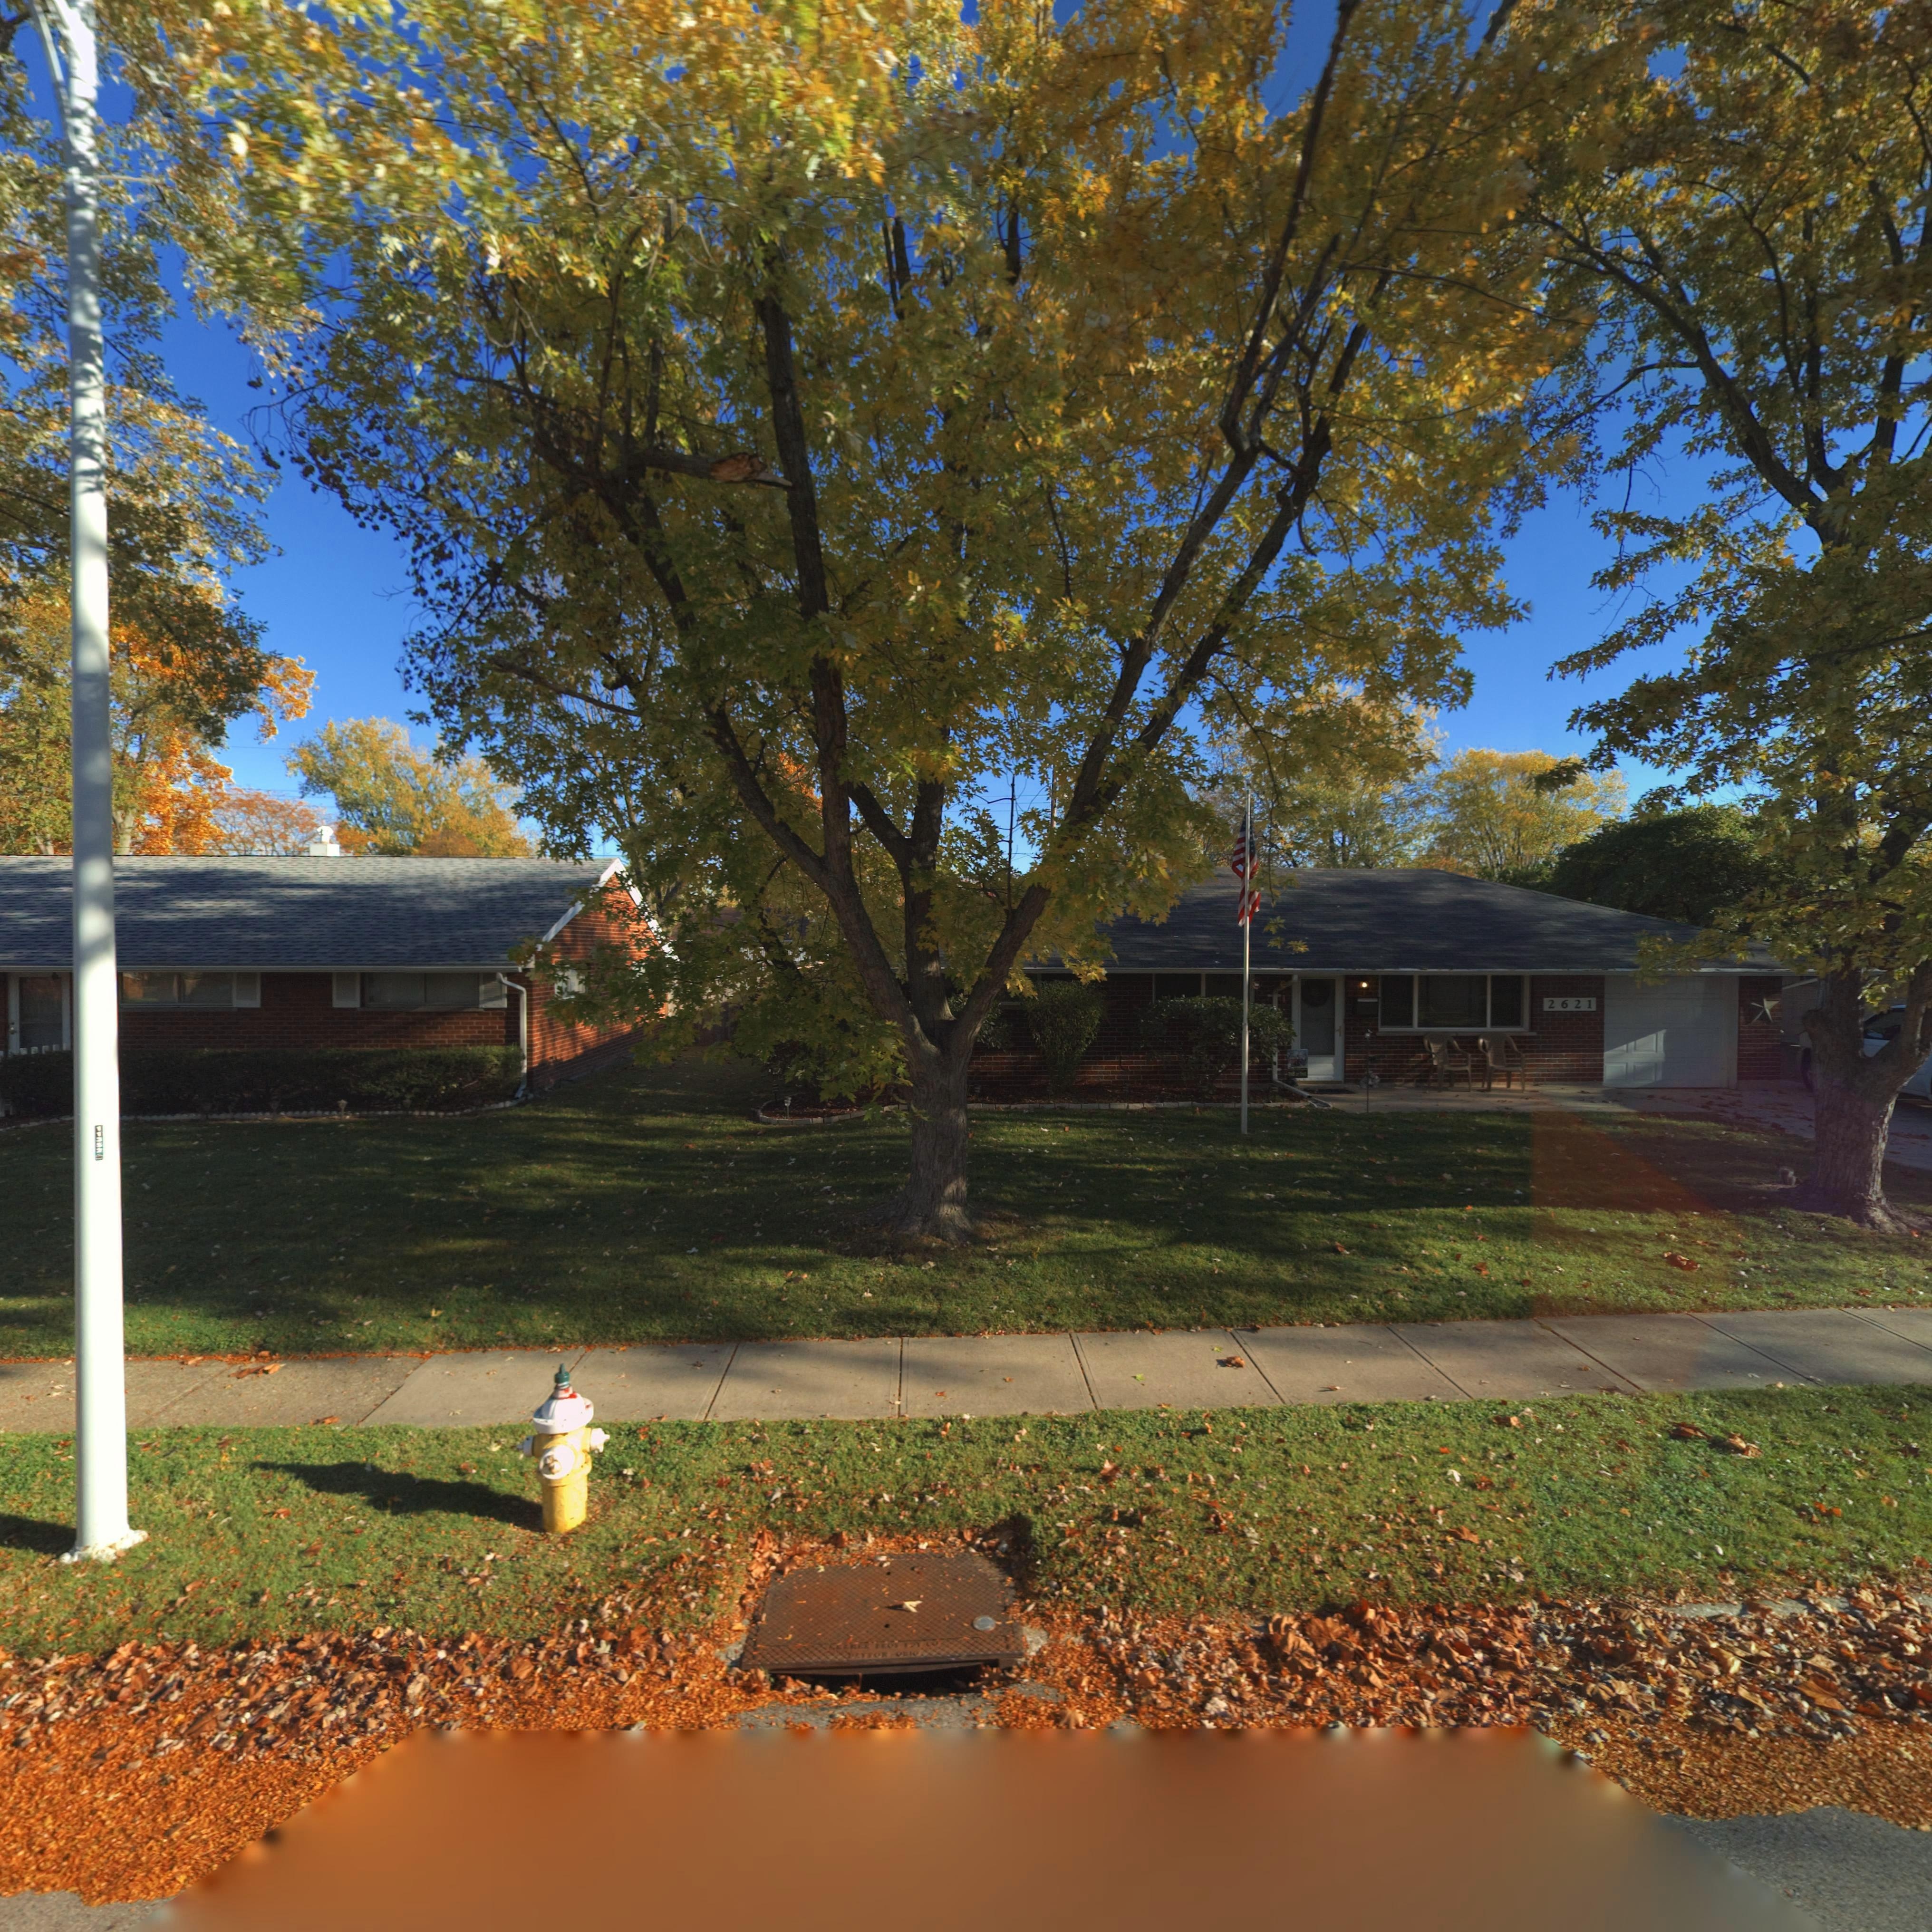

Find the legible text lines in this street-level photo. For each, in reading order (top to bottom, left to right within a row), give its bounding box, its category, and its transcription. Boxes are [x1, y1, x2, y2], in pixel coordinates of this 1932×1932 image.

[1546, 998, 1593, 1010] StreetNumber: 2621